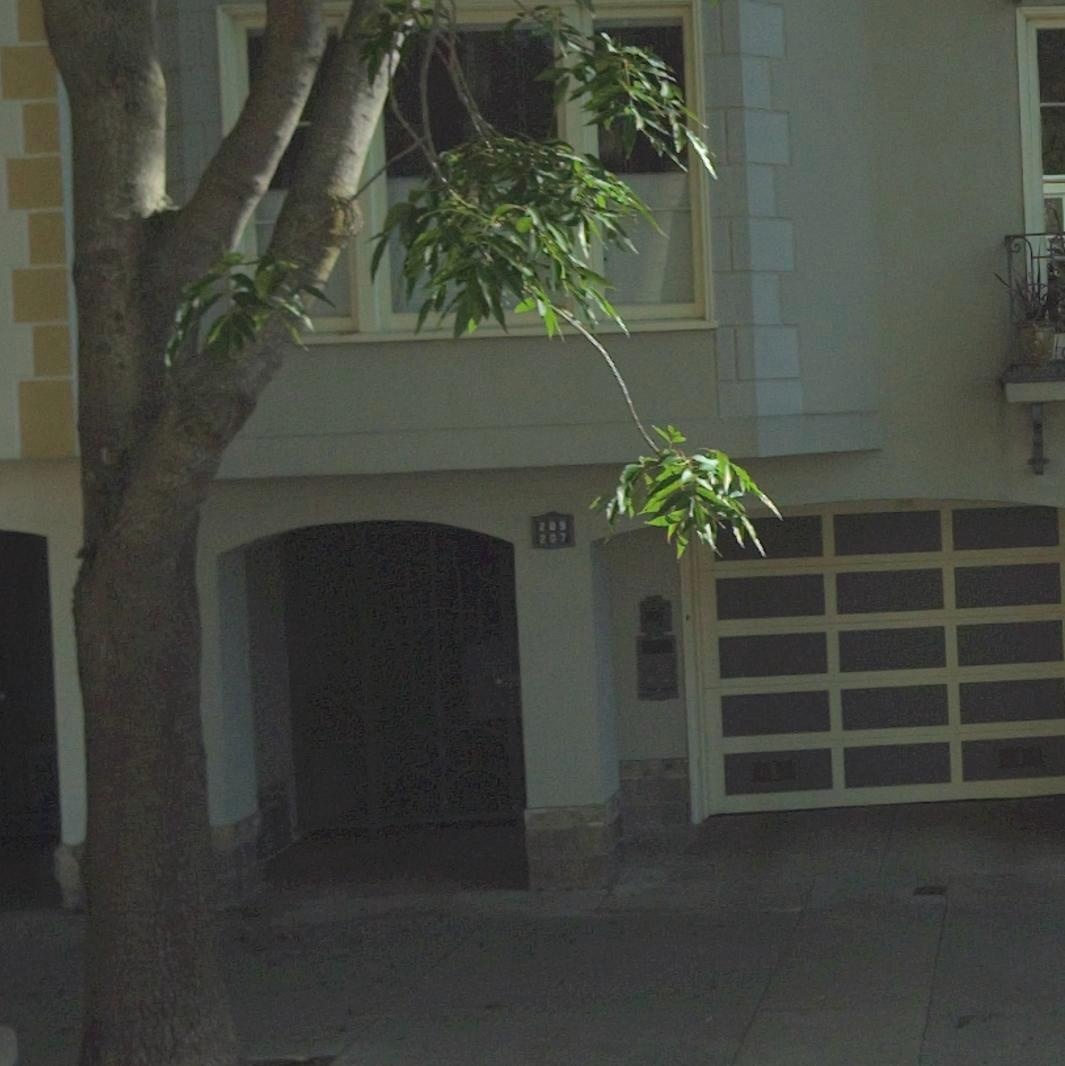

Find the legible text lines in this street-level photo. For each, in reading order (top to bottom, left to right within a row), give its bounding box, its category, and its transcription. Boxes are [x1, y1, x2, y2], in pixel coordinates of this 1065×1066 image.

[537, 519, 567, 532] StreetNumber: 209
[538, 532, 567, 545] StreetNumber: 207